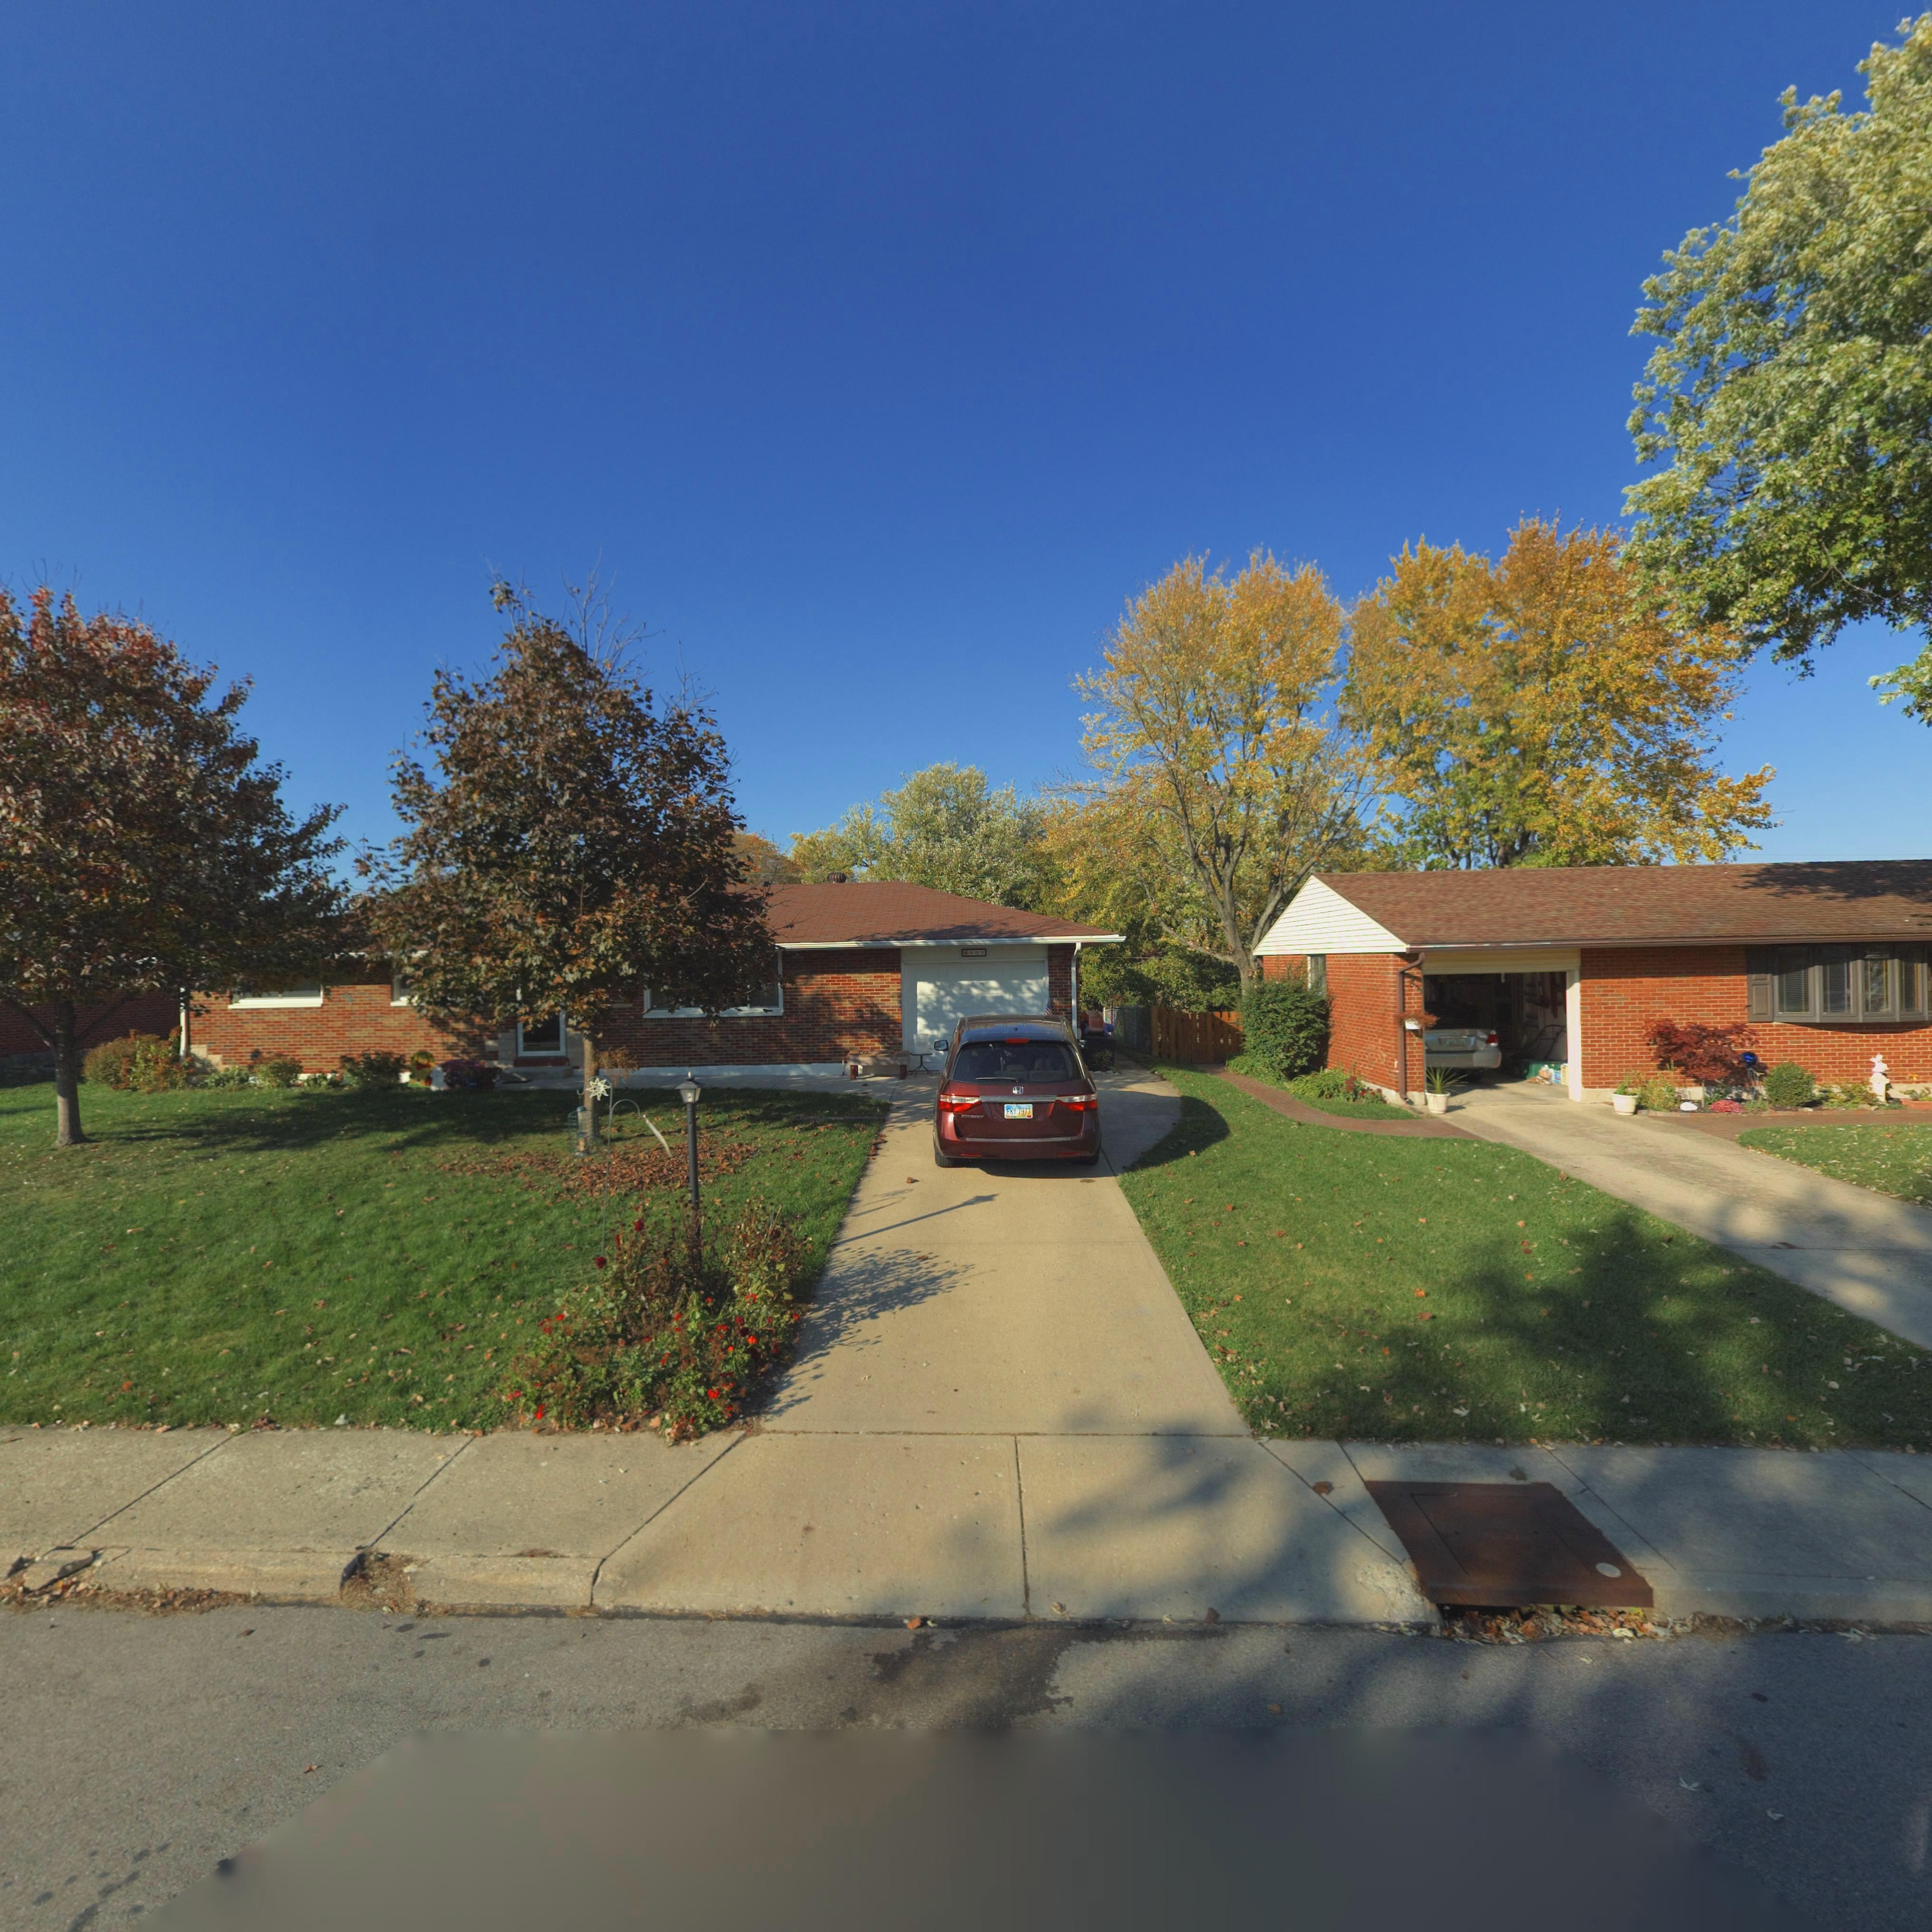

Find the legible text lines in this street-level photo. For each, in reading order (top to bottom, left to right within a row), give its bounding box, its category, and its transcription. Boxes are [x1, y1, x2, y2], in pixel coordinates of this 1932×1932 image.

[968, 950, 984, 955] StreetNumber: 809